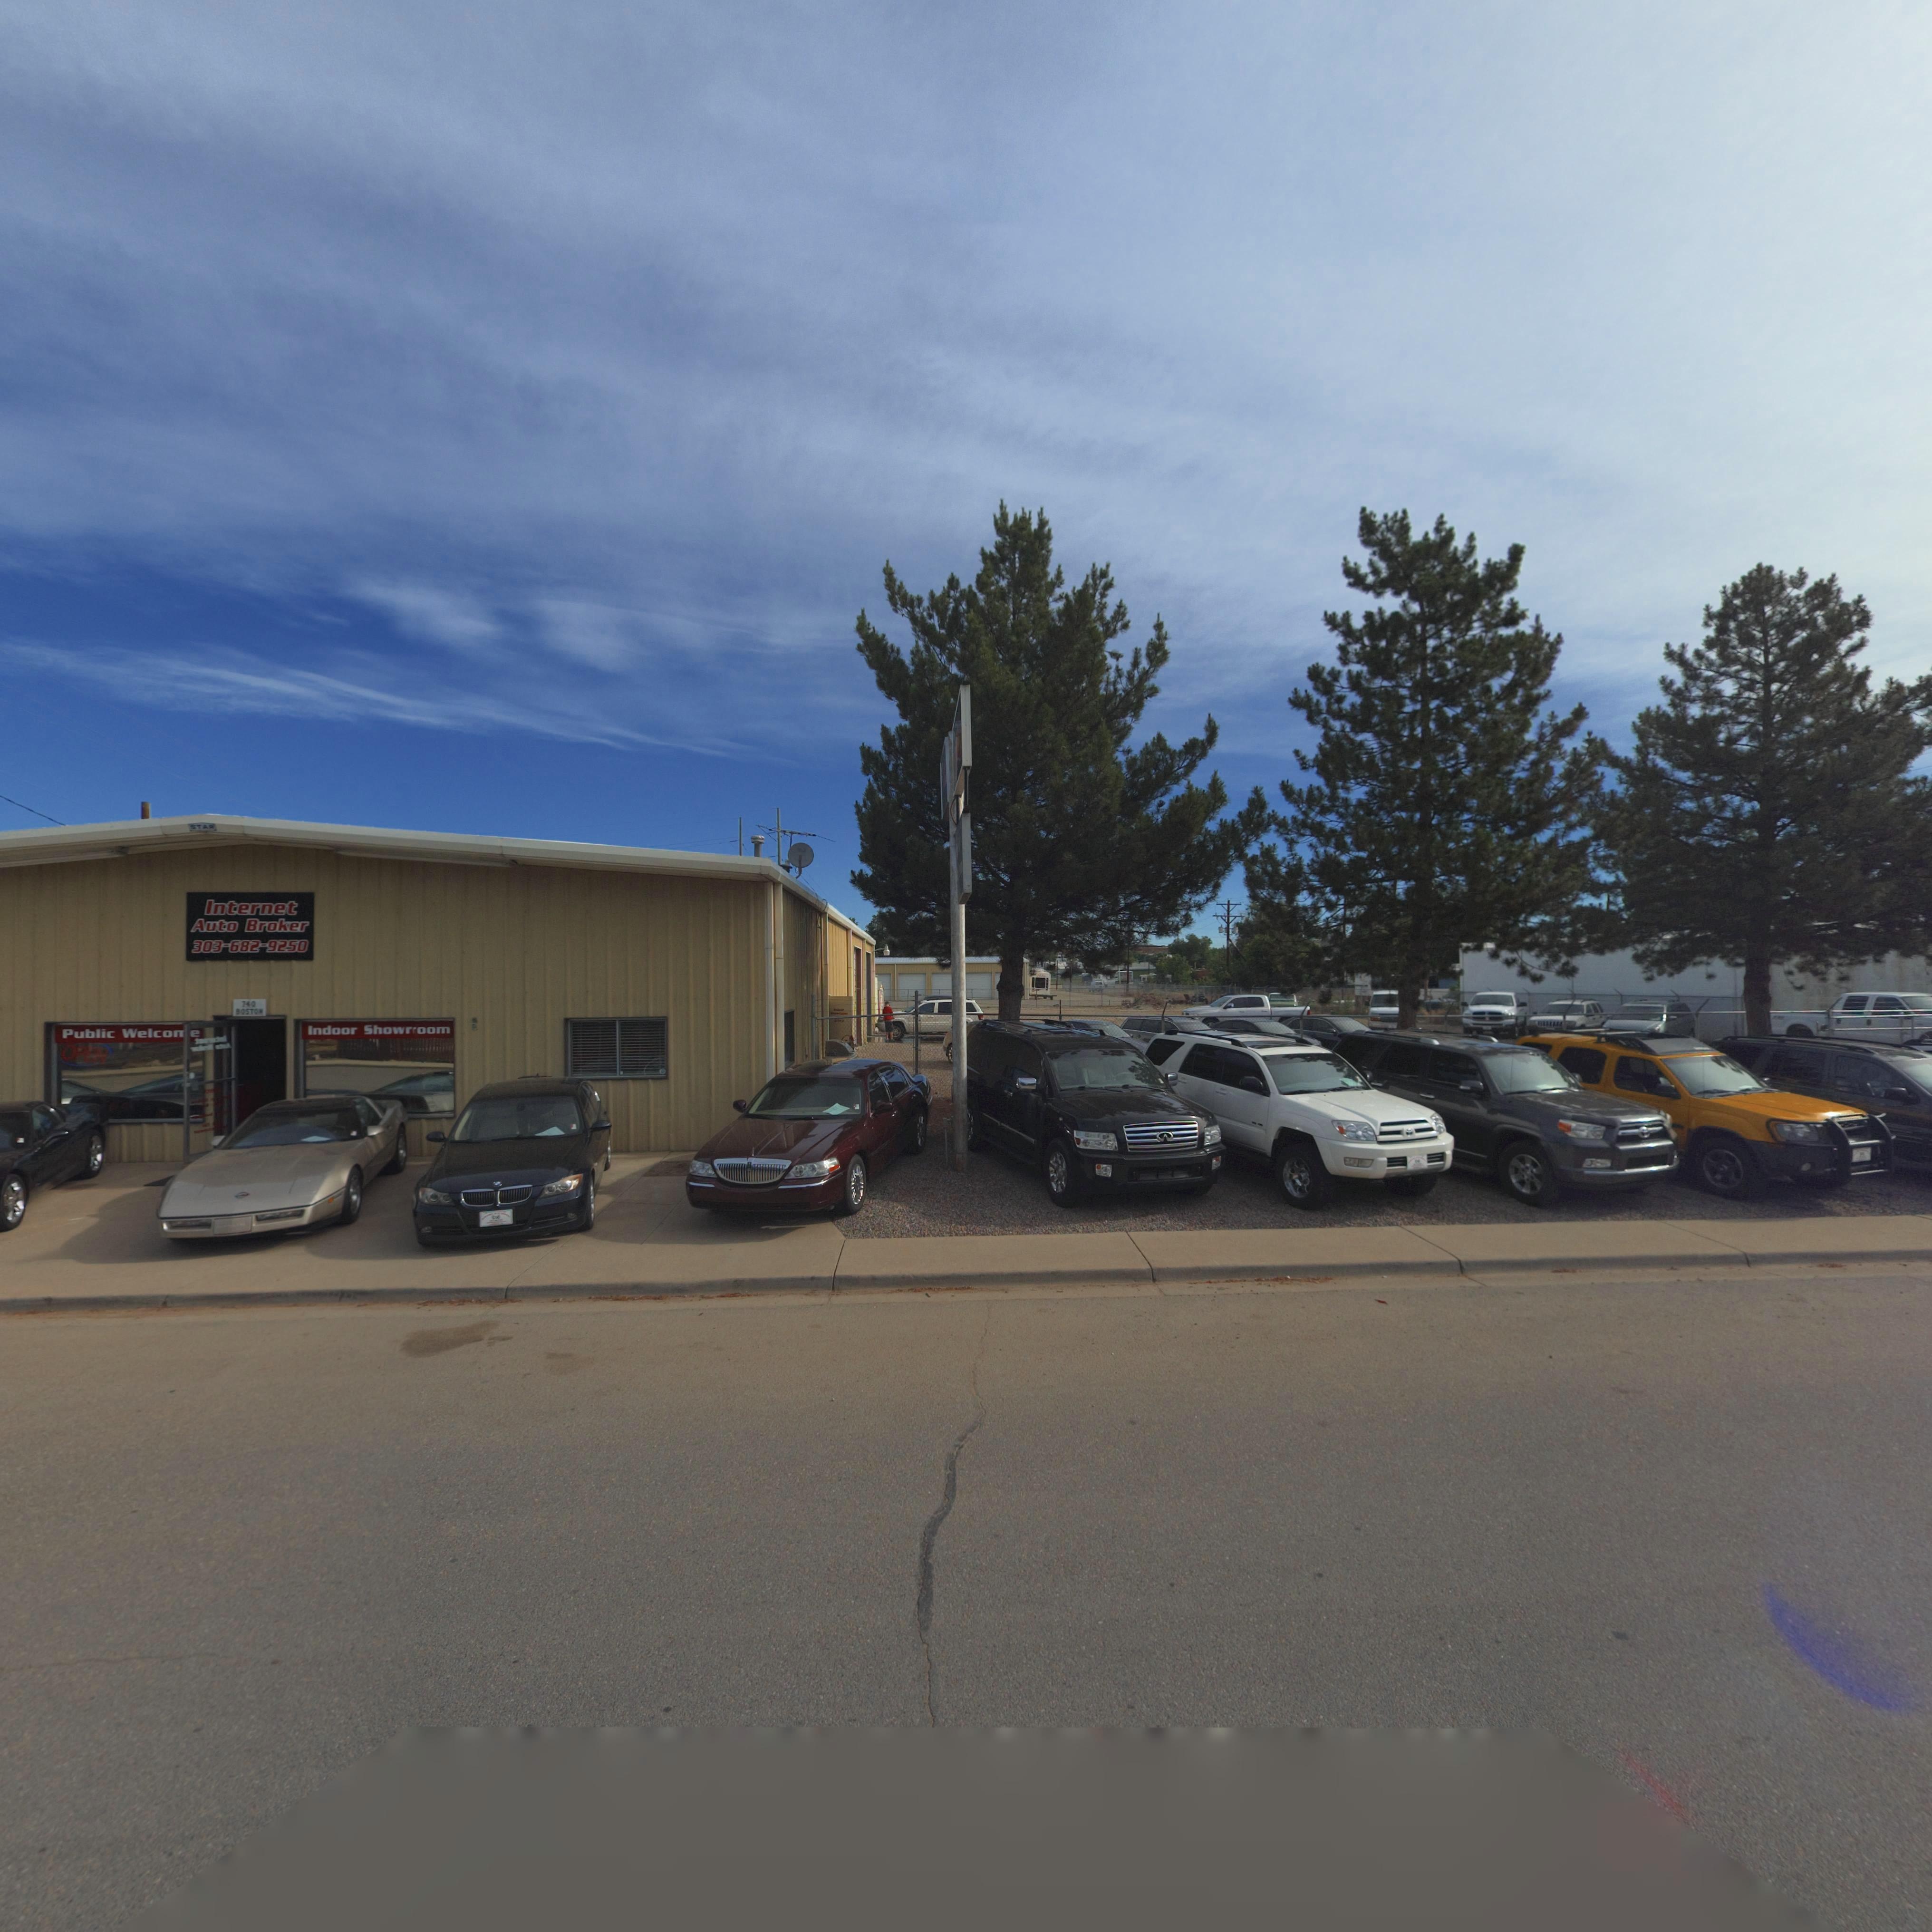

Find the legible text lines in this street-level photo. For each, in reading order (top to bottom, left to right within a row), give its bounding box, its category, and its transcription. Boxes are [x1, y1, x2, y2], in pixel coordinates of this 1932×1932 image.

[203, 898, 299, 915] BusinessName: Internet
[189, 917, 310, 933] BusinessName: Auto Broker
[241, 1000, 257, 1007] StreetNumber: 740
[235, 1008, 263, 1015] StreetName: BOSTON